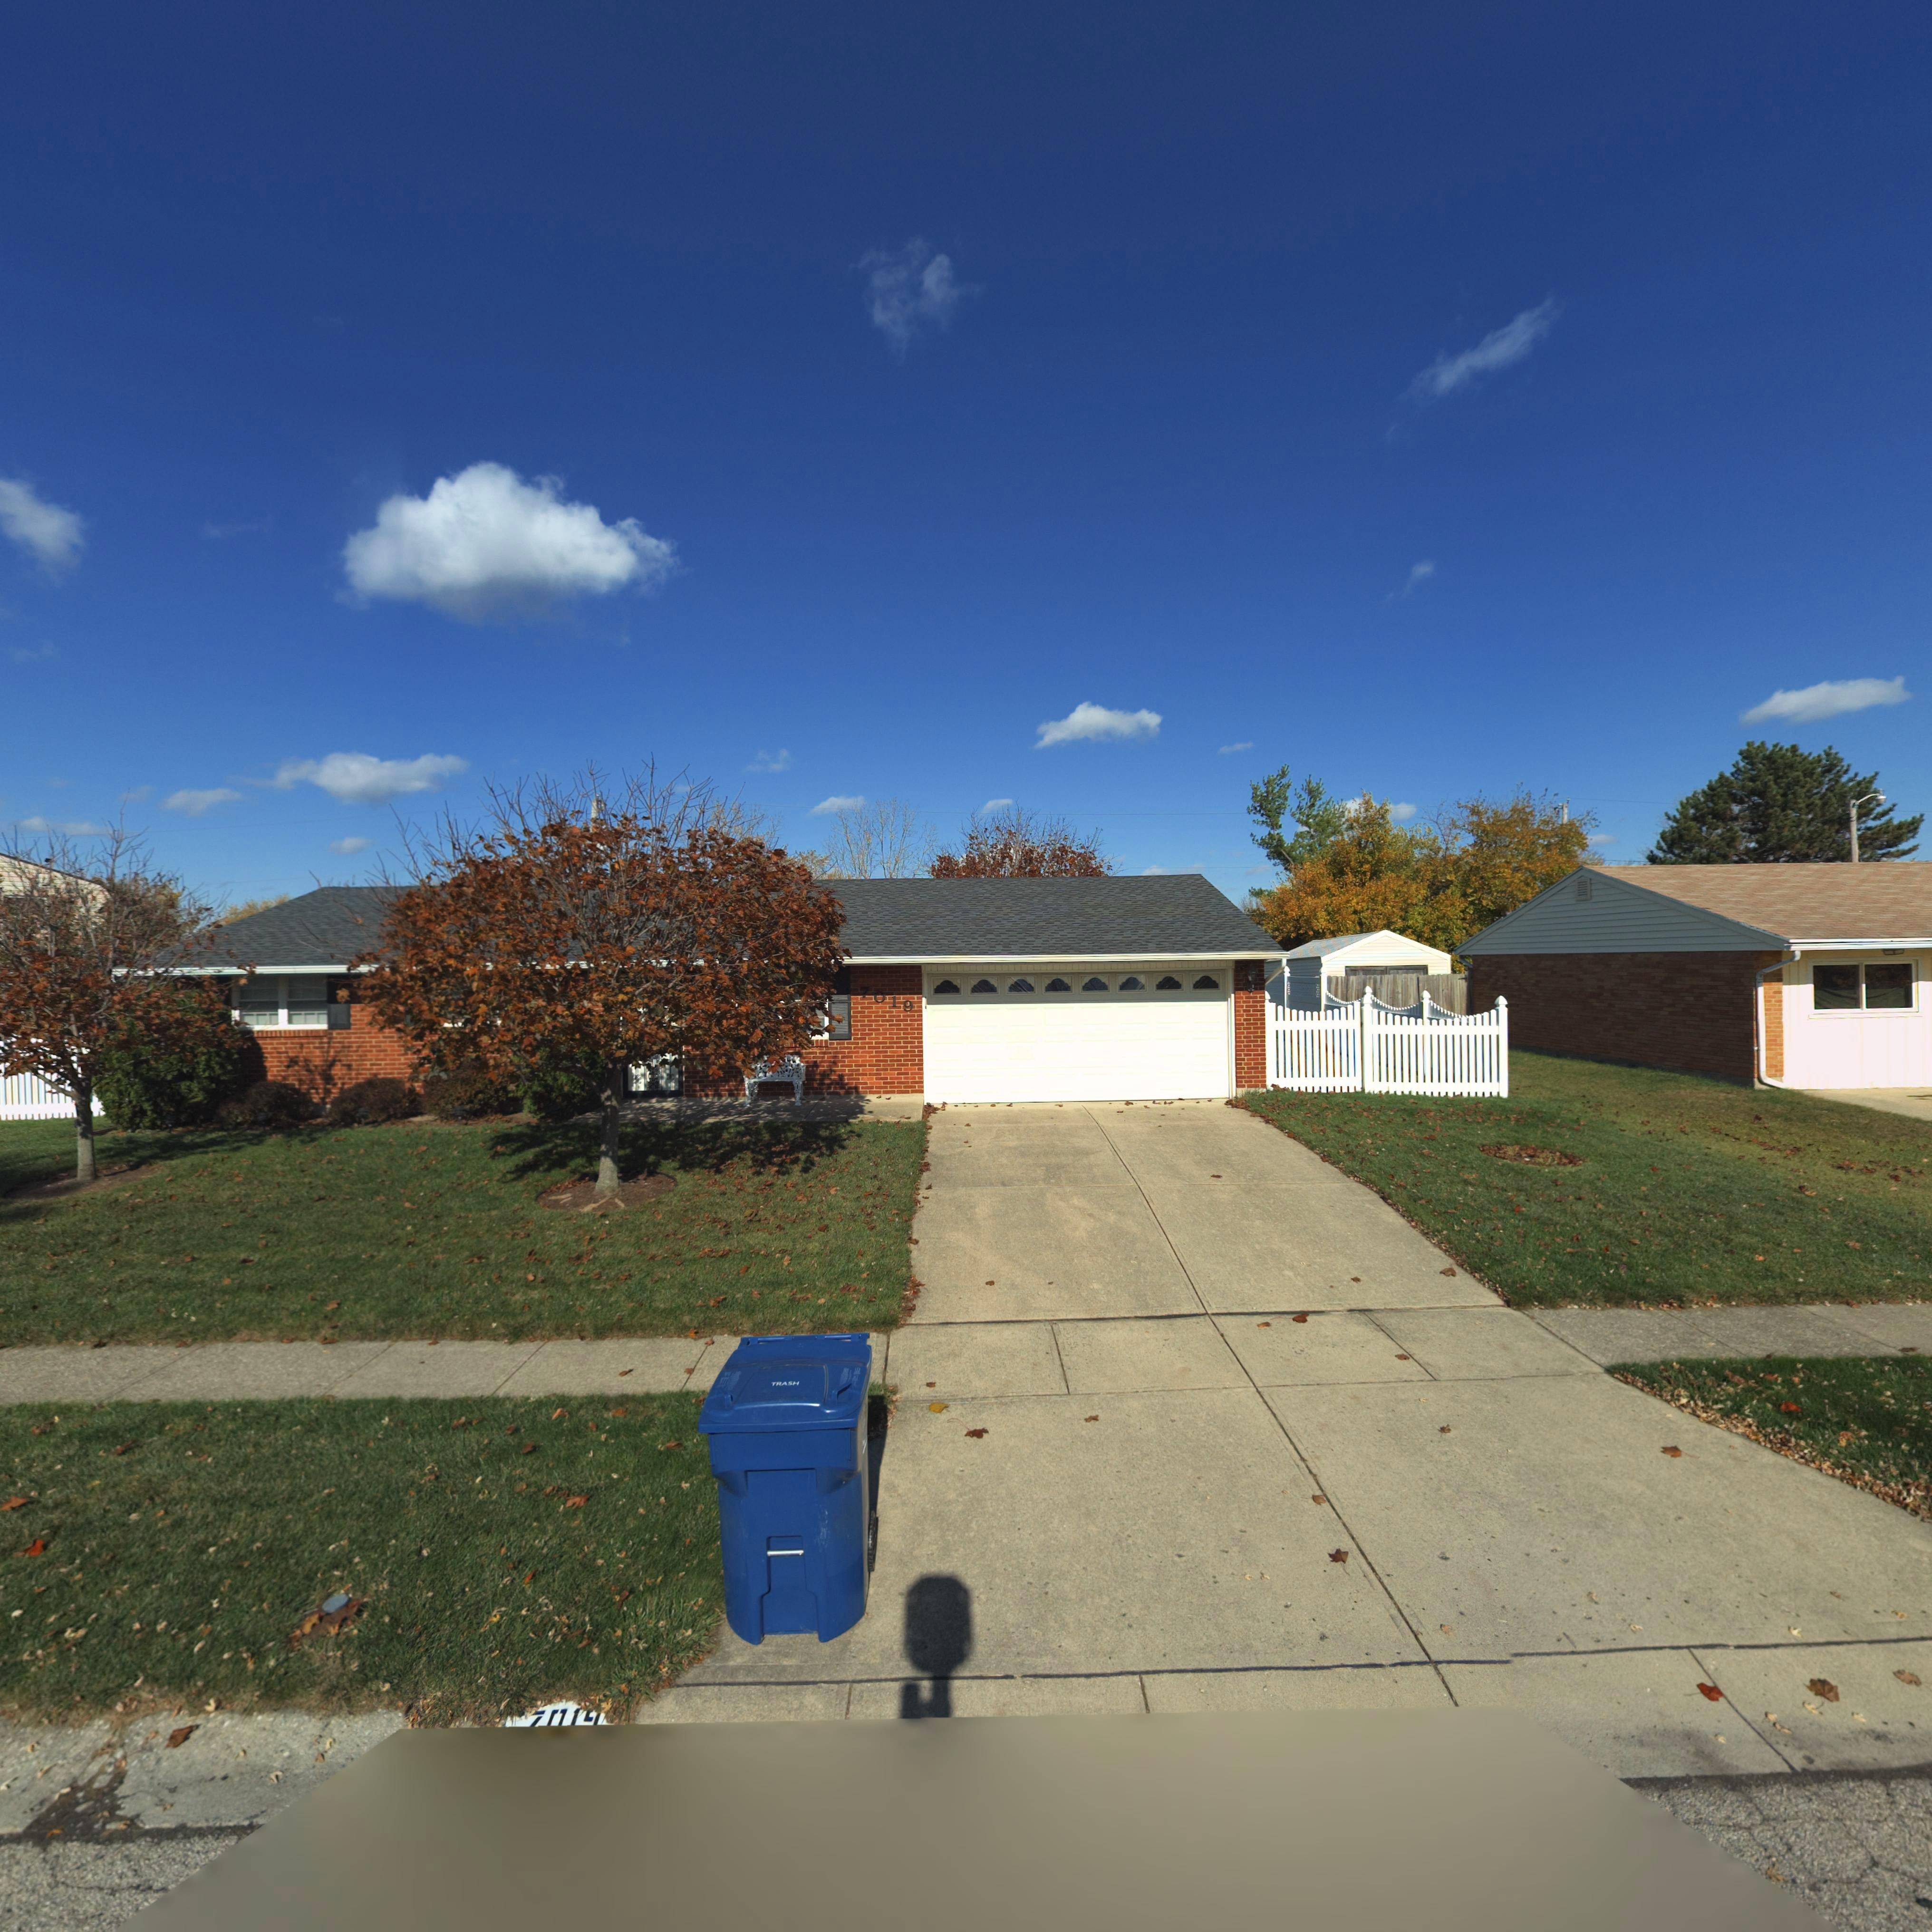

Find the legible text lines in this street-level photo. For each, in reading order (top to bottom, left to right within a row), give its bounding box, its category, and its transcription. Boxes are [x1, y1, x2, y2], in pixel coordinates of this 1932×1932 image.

[858, 984, 915, 1014] StreetNumber: 7019